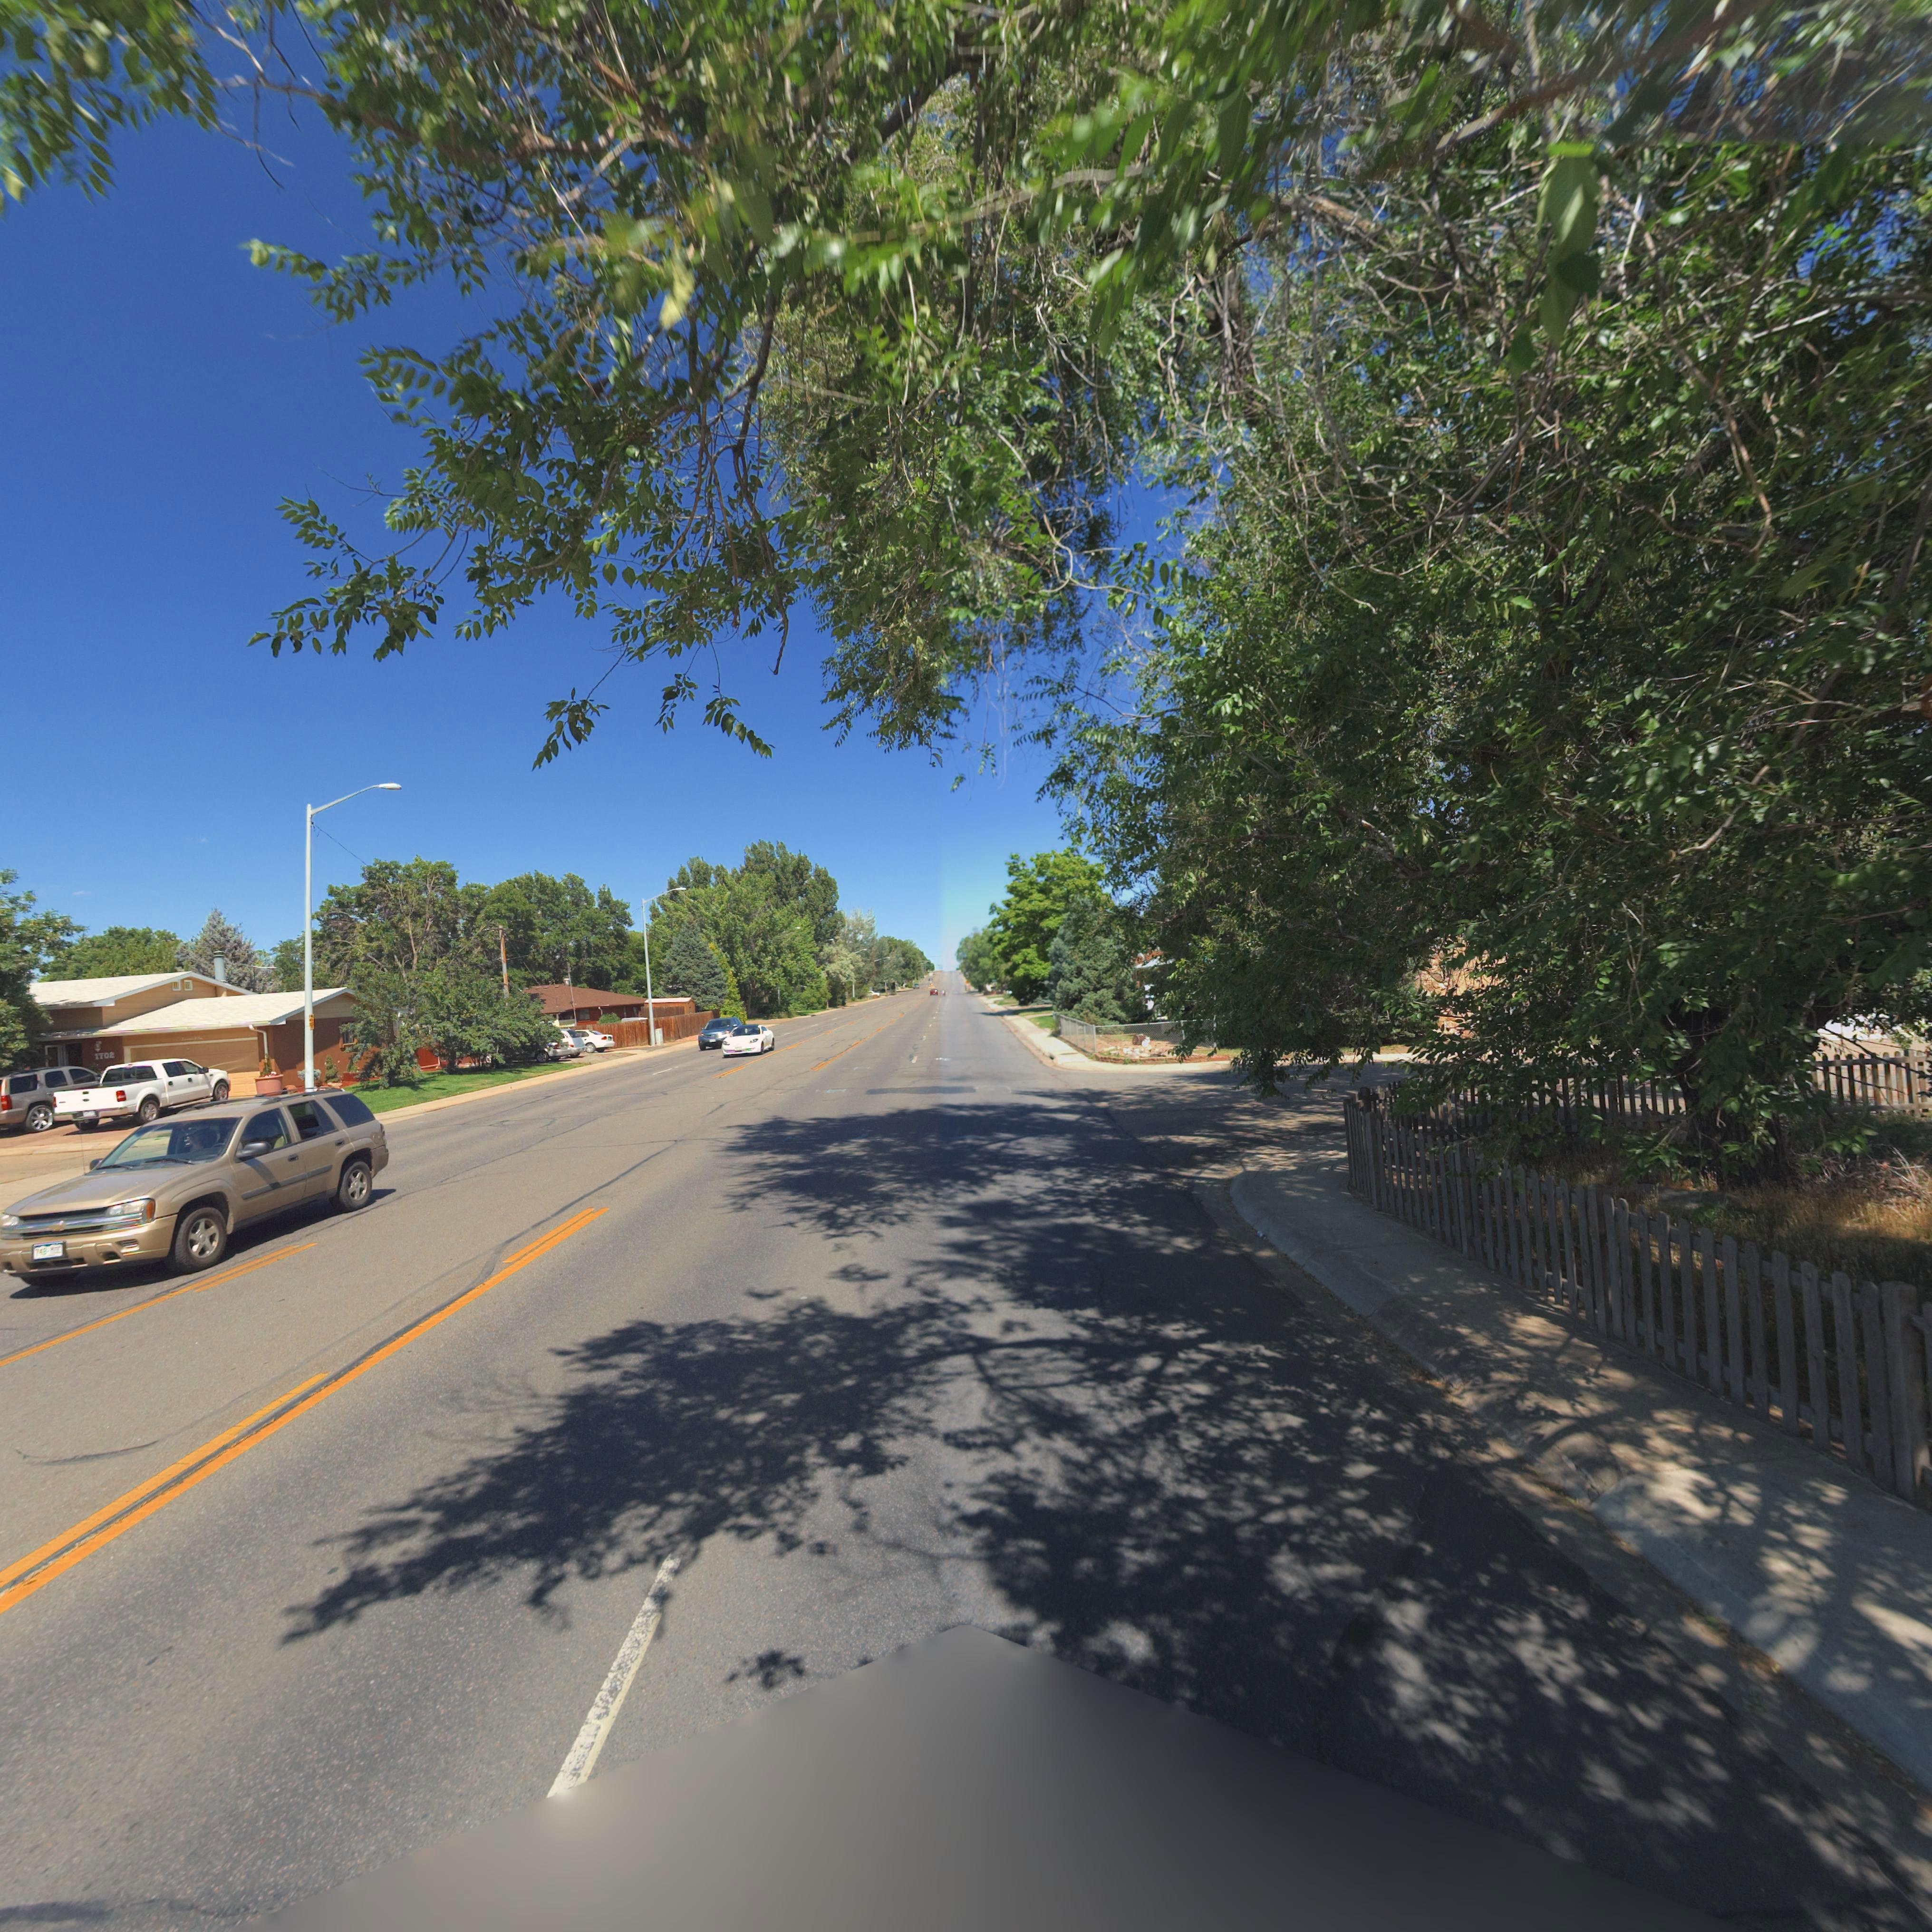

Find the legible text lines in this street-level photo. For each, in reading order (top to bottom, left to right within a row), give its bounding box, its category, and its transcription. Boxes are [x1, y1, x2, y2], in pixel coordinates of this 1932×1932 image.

[94, 1052, 115, 1060] StreetNumber: 1702